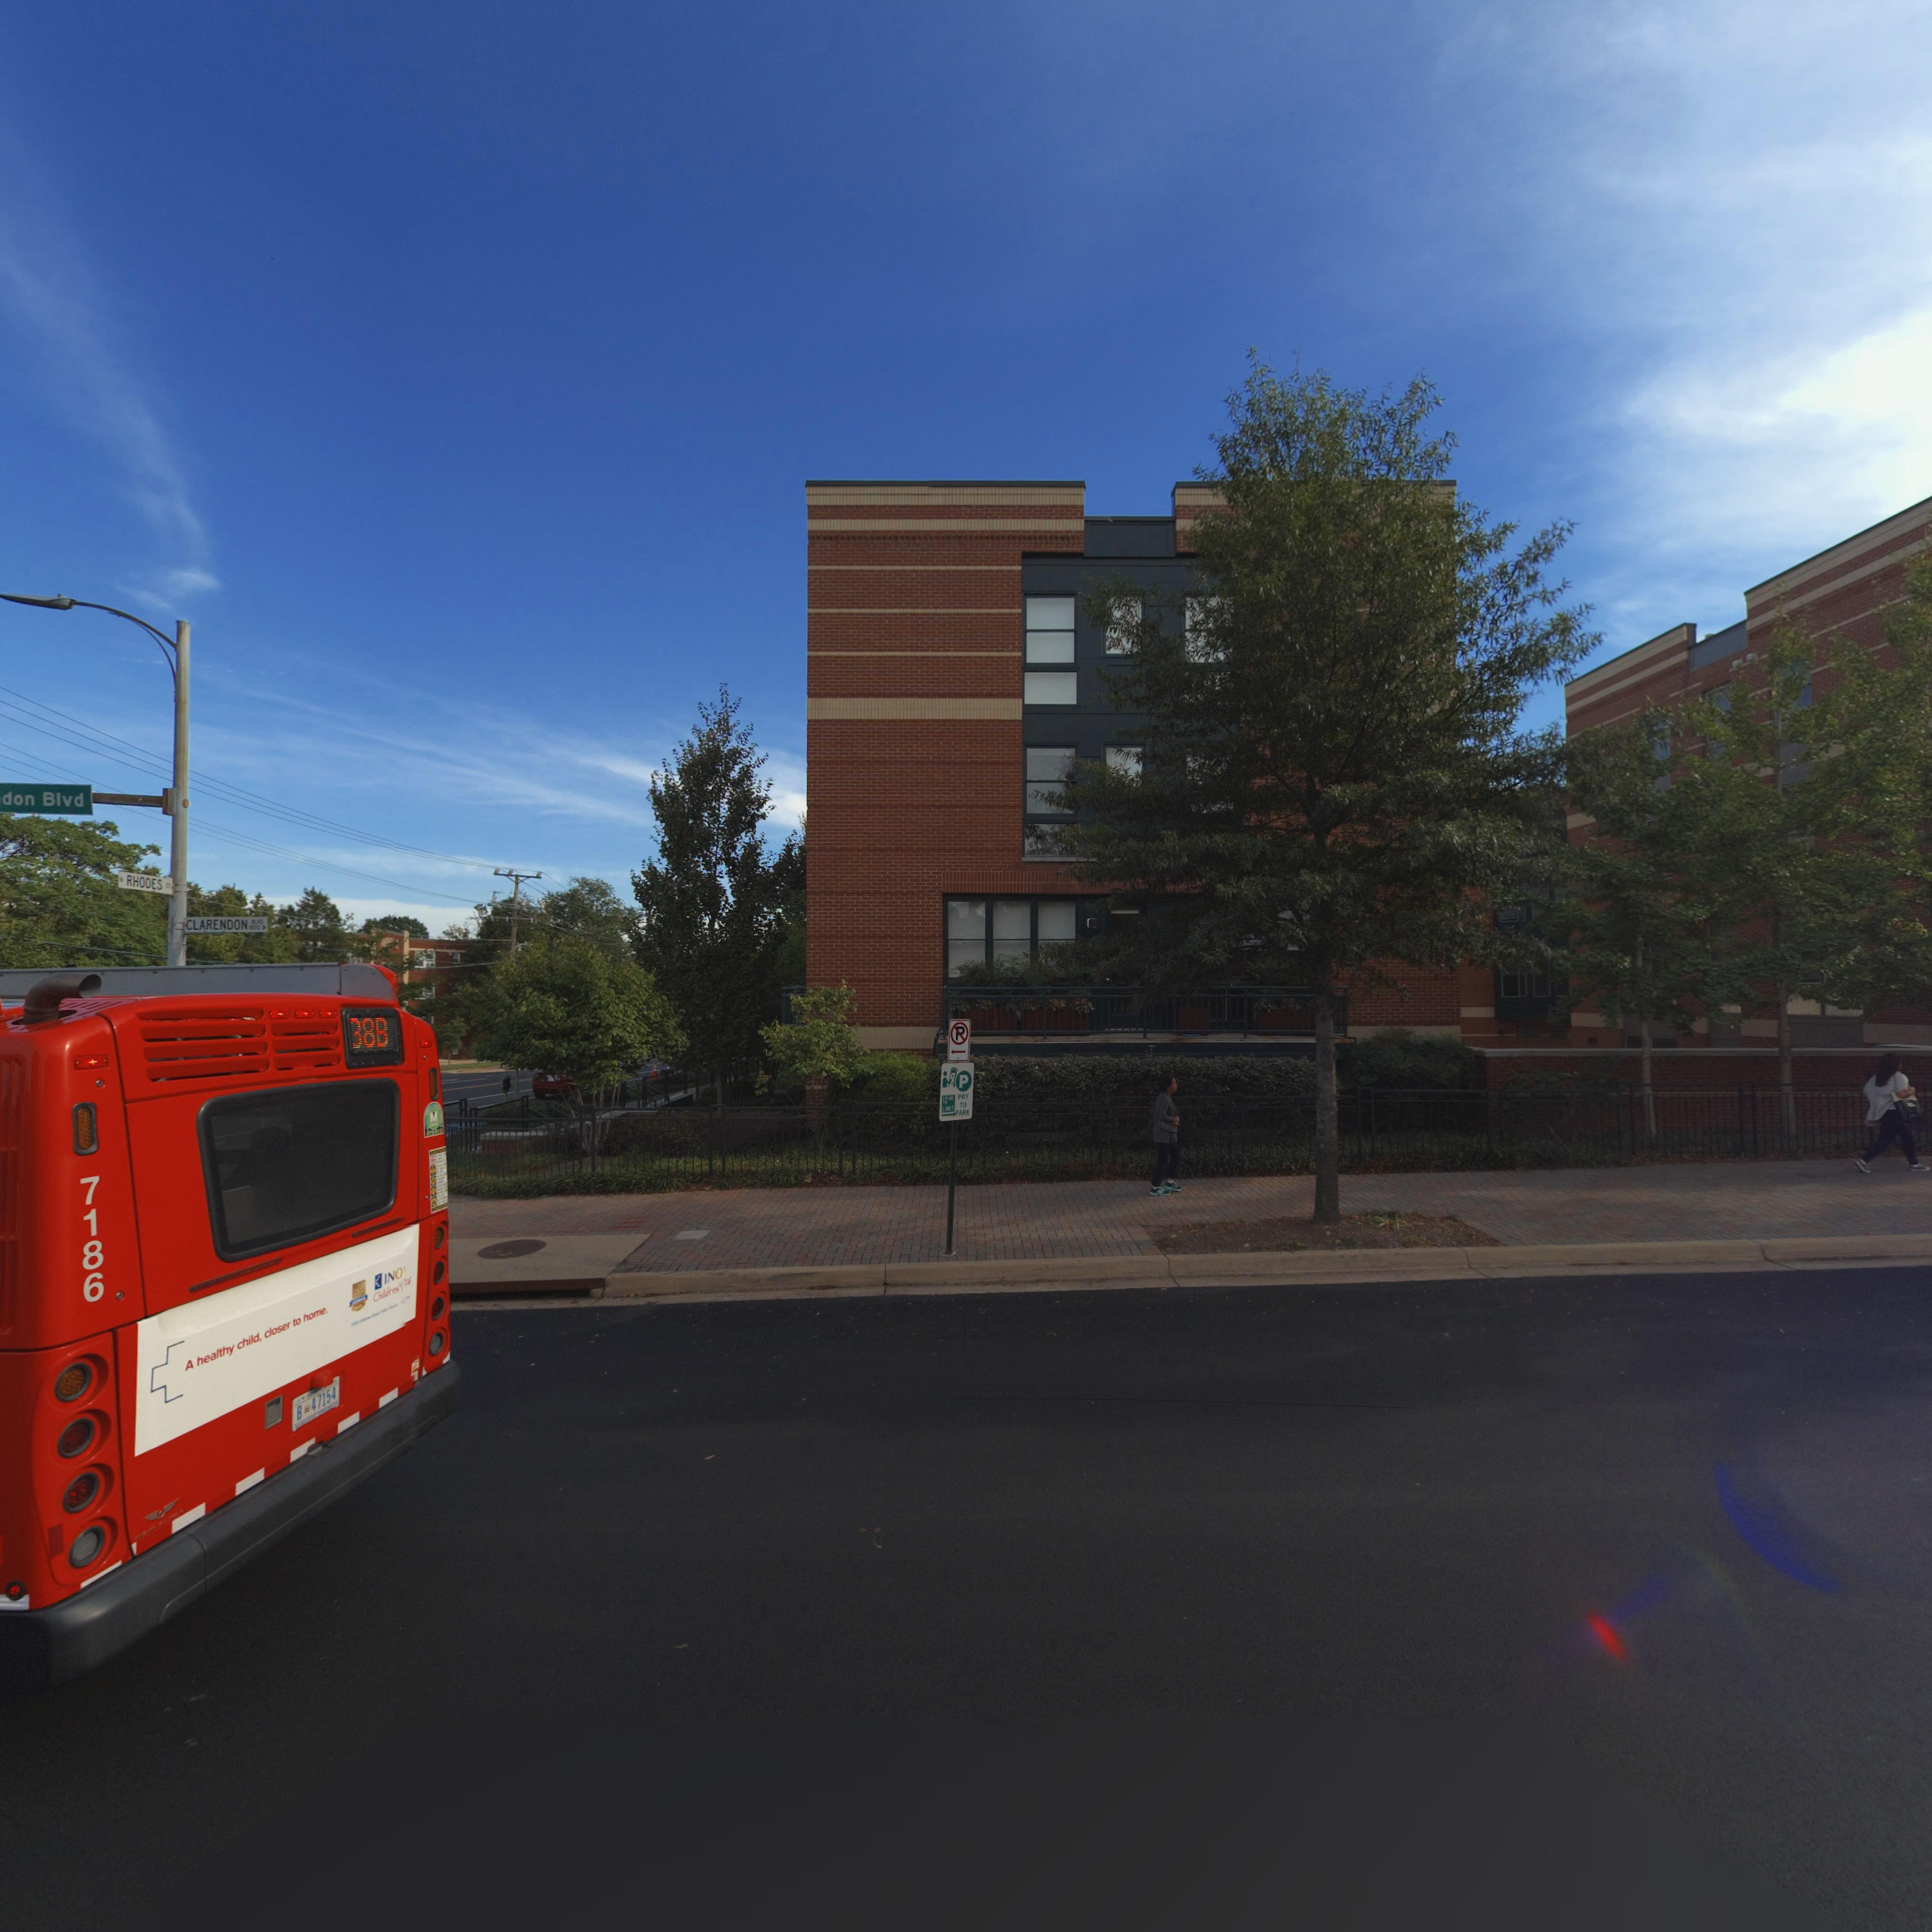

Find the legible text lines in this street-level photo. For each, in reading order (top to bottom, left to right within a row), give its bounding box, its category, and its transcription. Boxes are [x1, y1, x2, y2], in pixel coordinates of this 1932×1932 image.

[1, 789, 86, 809] StreetName: don Blvd
[125, 872, 174, 892] StreetName: RHODES ST
[184, 918, 265, 932] StreetName: CLARENDON BLVD
[358, 1013, 392, 1051] None: 8B
[958, 1072, 970, 1090] None: P
[429, 1111, 439, 1124] None: M
[942, 1095, 949, 1105] None: 12
[940, 1104, 956, 1113] None: LIMIT
[954, 1108, 971, 1117] None: PARK
[956, 1092, 970, 1101] None: PAY
[959, 1101, 968, 1109] None: TO
[77, 1172, 106, 1304] None: 7186
[383, 1264, 405, 1287] None: INO
[183, 1305, 329, 1373] None: A healthy child, closer to home.
[295, 1383, 338, 1422] None: B * 47154